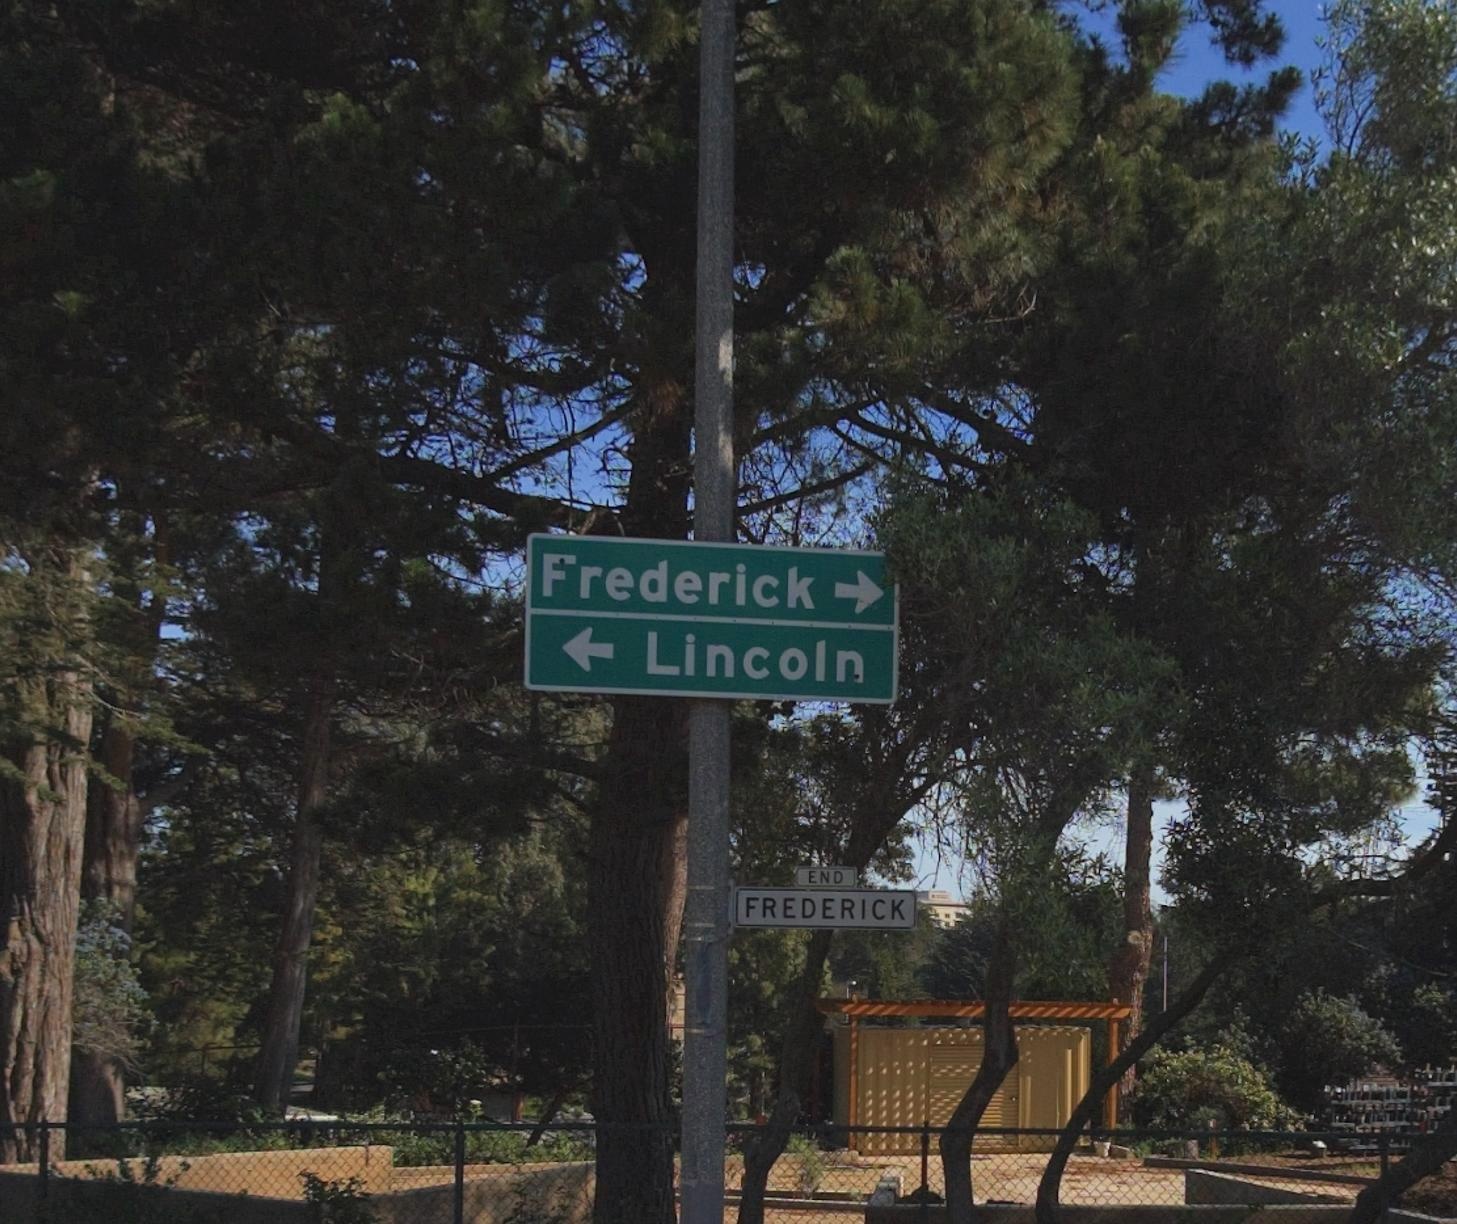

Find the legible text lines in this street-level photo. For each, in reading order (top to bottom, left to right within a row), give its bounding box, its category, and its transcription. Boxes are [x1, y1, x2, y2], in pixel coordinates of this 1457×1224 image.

[539, 548, 883, 620] StreetName: Frederick->
[555, 619, 868, 690] StreetName: <-Lincoln
[802, 867, 846, 888] None: END
[744, 894, 906, 922] StreetName: FREDERICK